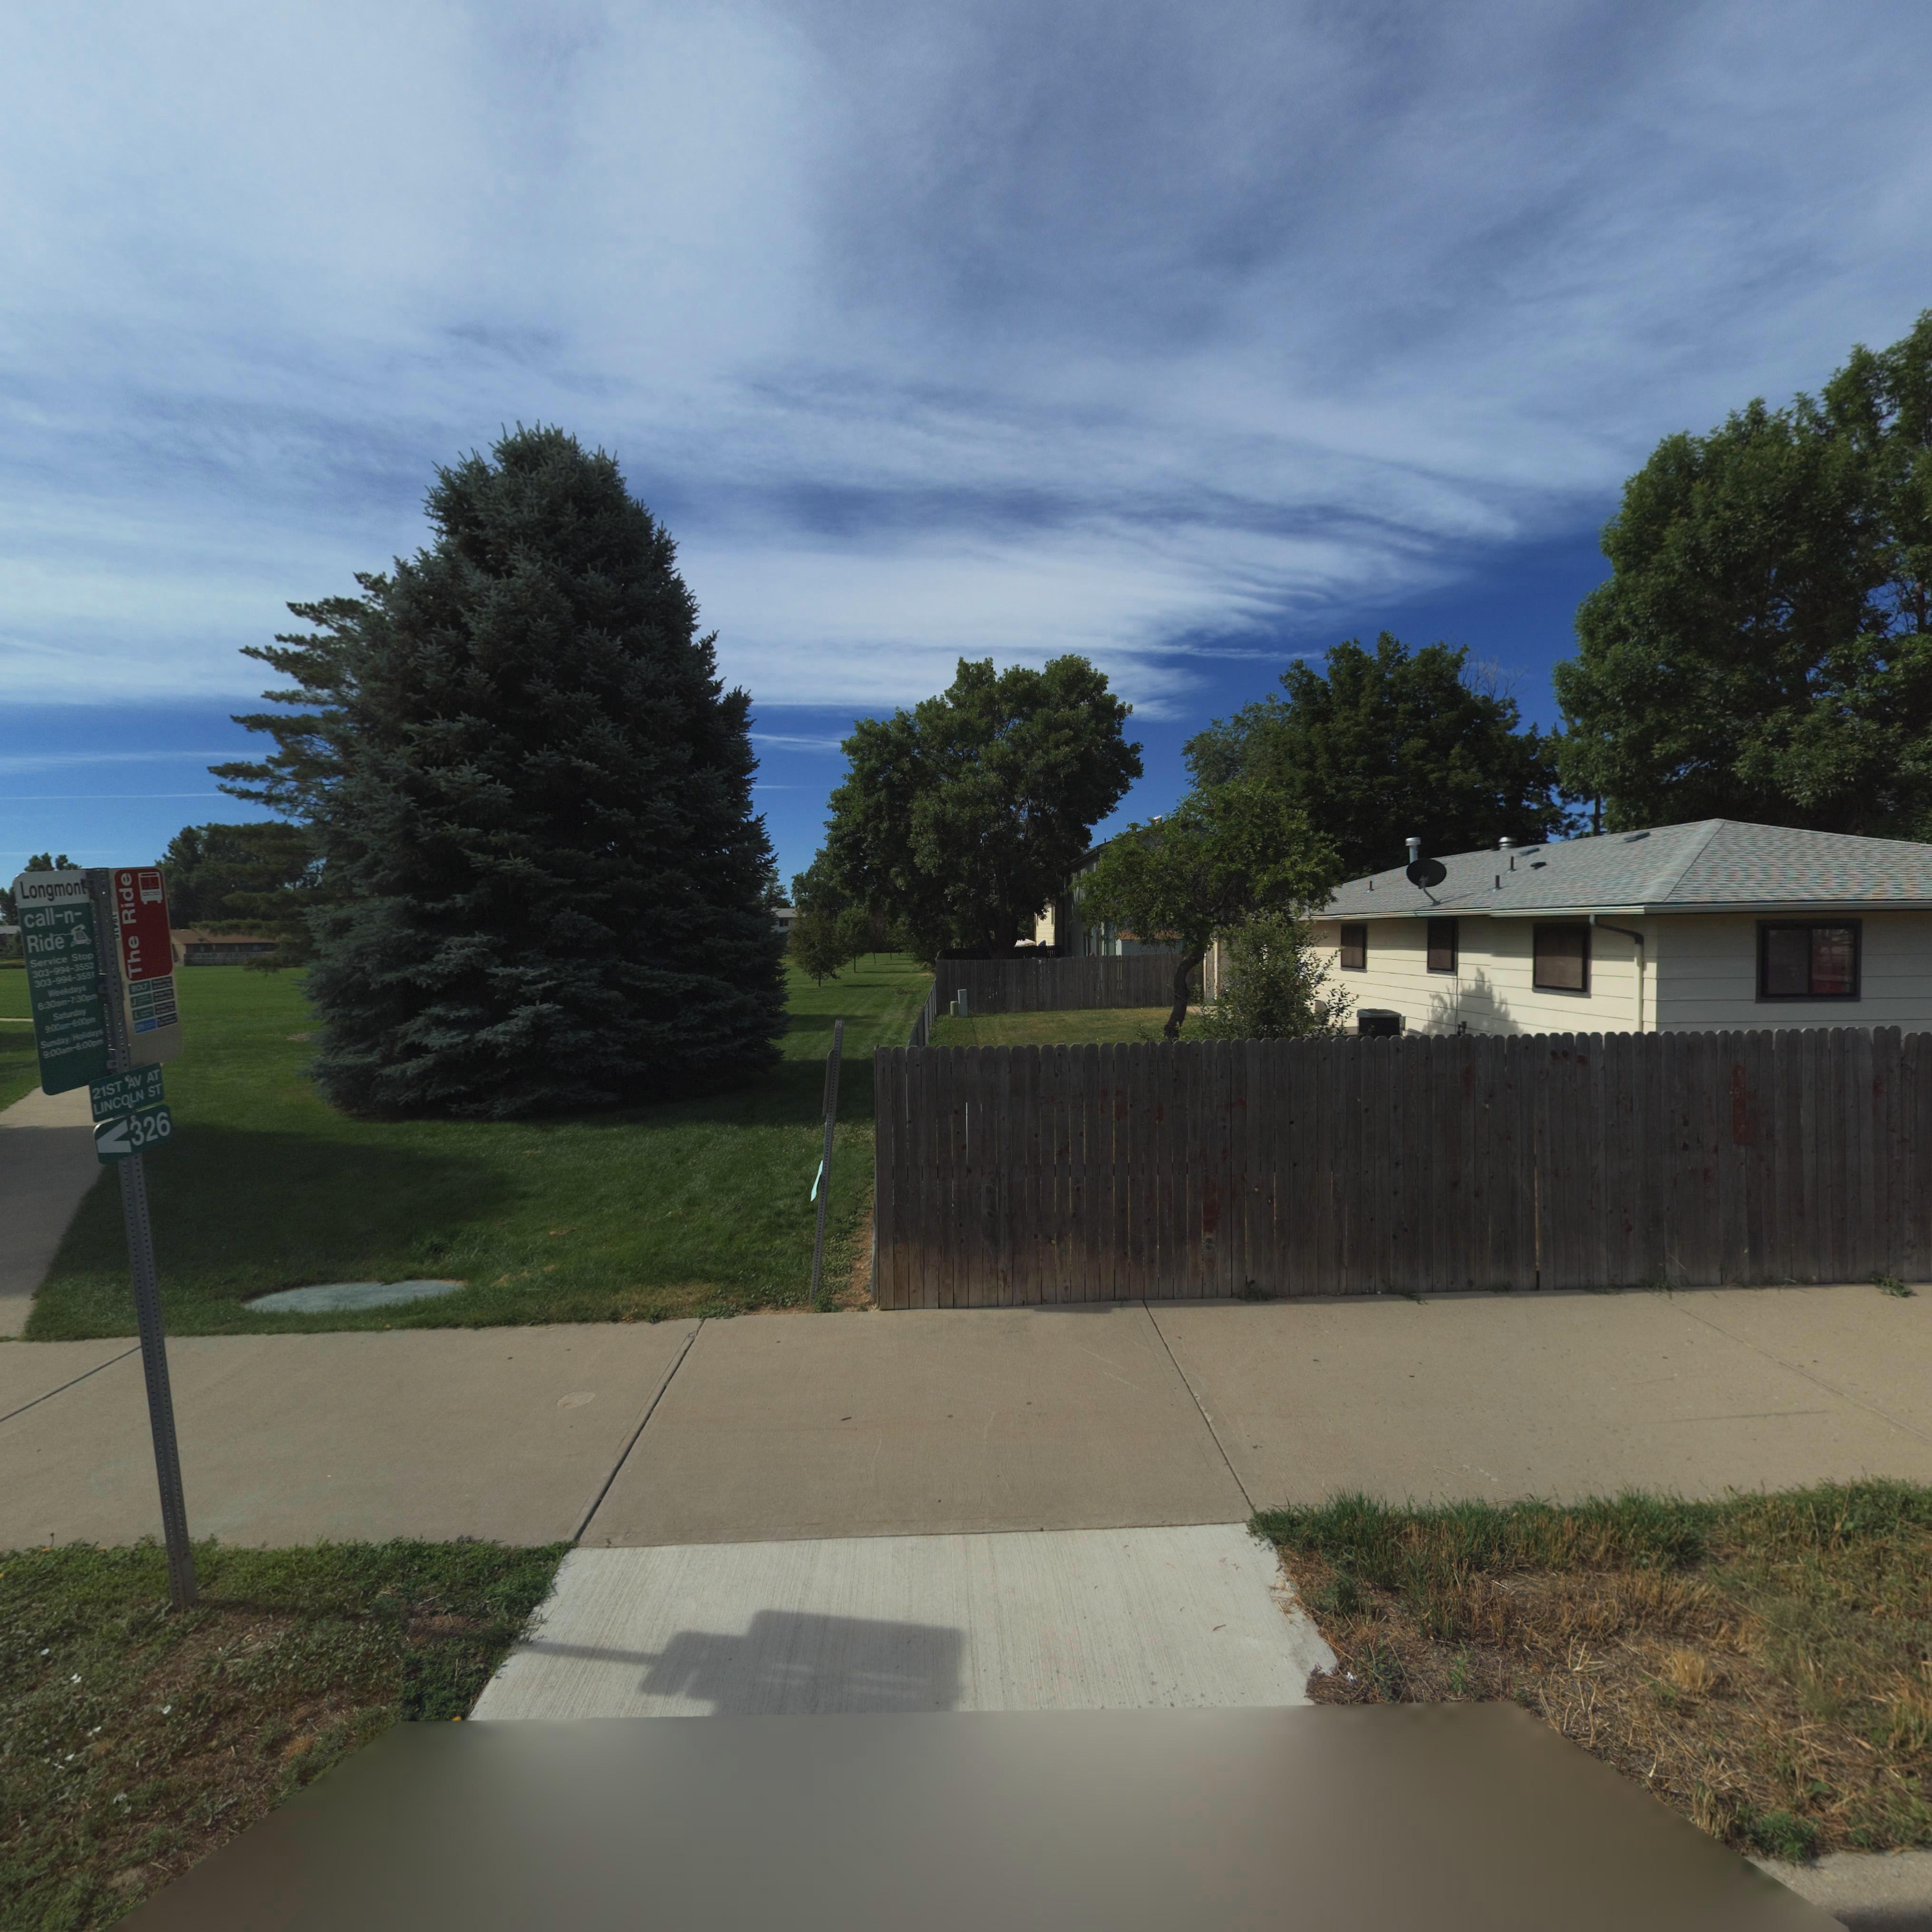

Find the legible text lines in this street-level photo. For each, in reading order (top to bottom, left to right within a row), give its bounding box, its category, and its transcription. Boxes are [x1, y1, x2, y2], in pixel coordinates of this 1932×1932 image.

[91, 1073, 142, 1101] StreetName: 21ST AV
[93, 1082, 162, 1115] StreetName: LINCOLN ST